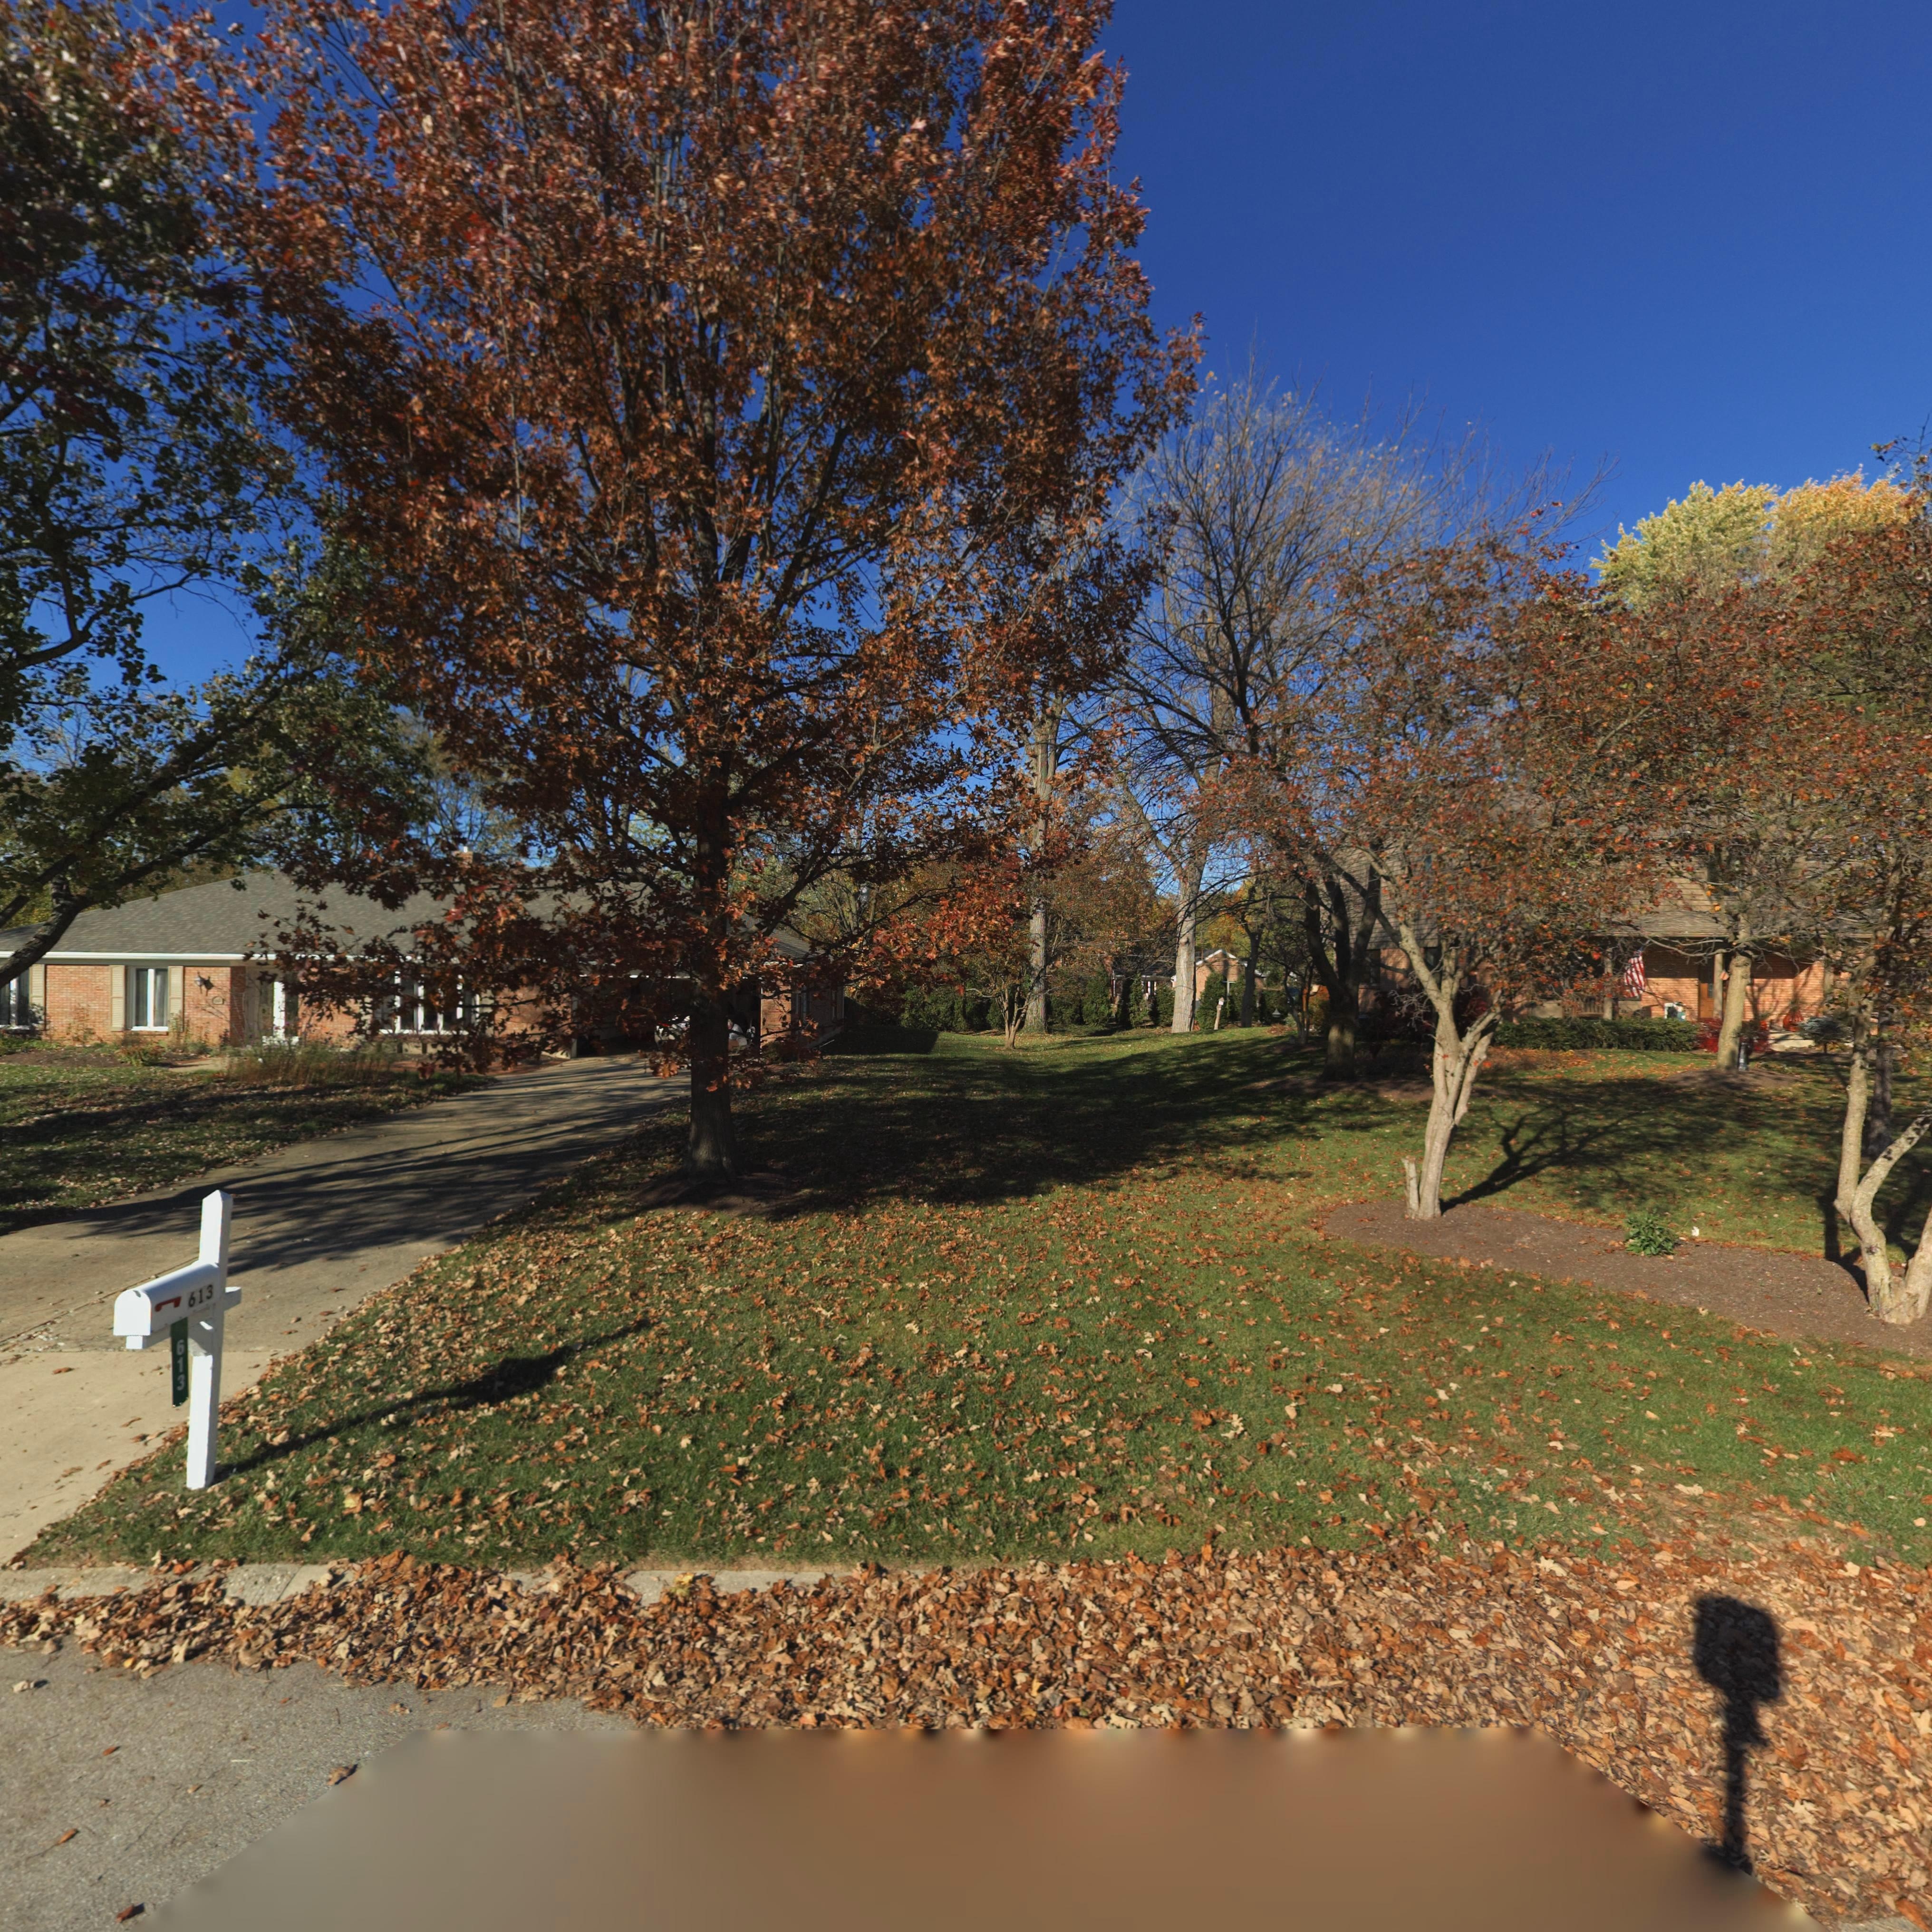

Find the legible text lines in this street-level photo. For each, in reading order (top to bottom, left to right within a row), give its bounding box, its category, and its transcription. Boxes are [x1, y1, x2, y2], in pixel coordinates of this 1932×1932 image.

[187, 1282, 214, 1310] StreetNumber: 613
[175, 1336, 187, 1393] StreetNumber: 613